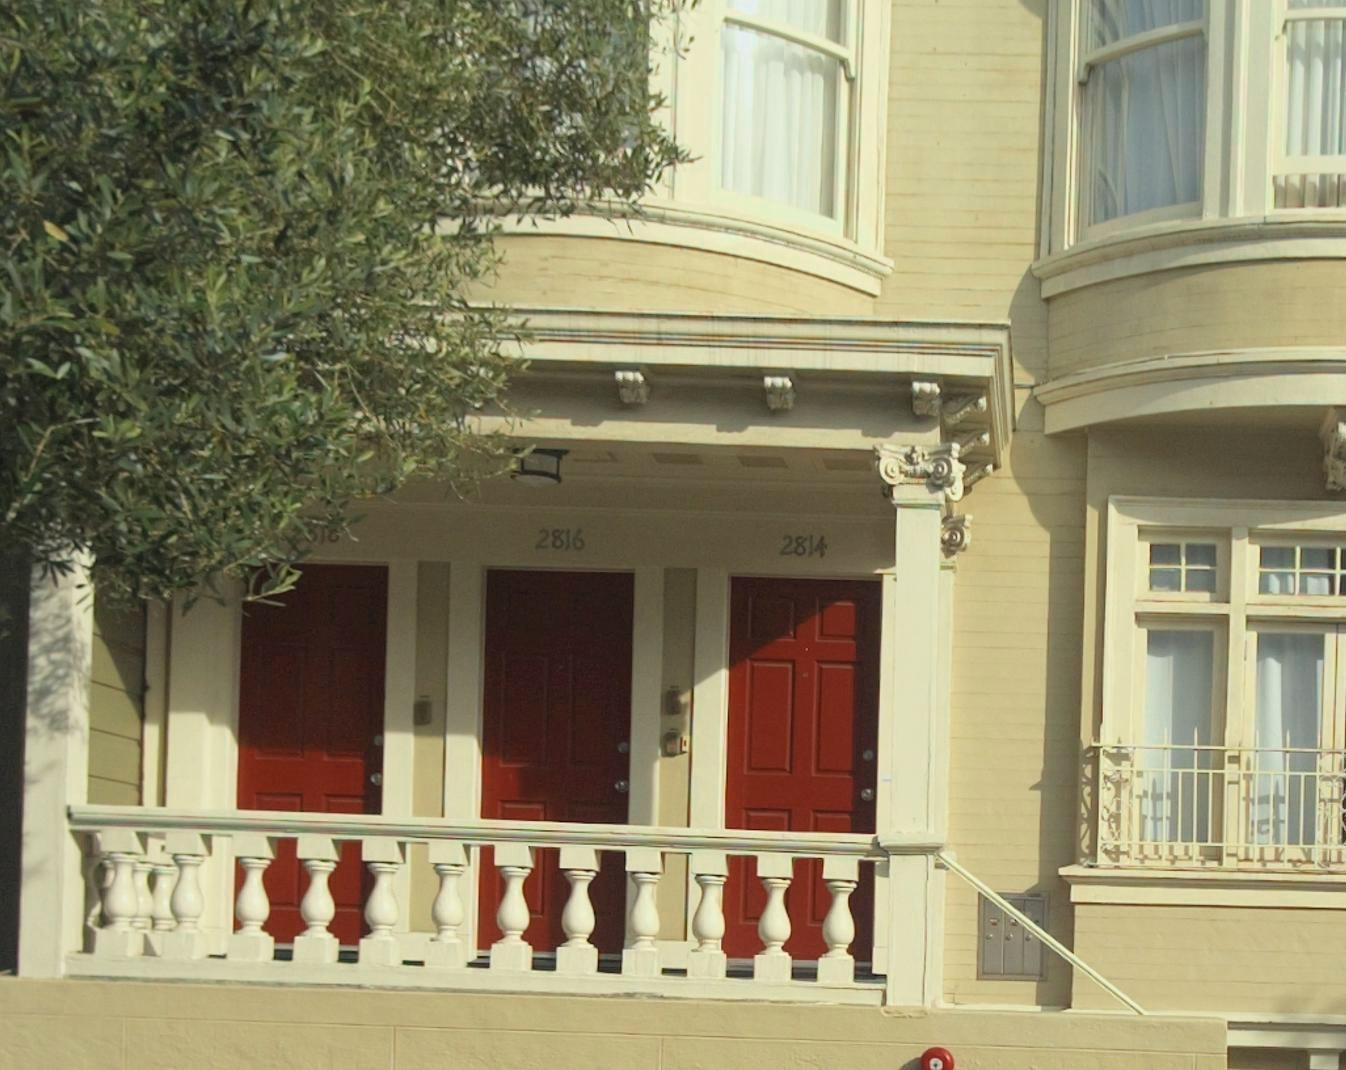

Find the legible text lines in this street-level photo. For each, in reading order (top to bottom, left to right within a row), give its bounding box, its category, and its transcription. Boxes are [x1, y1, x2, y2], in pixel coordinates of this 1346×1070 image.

[533, 526, 587, 553] StreetNumber: 2816
[778, 531, 830, 562] StreetNumber: 2814